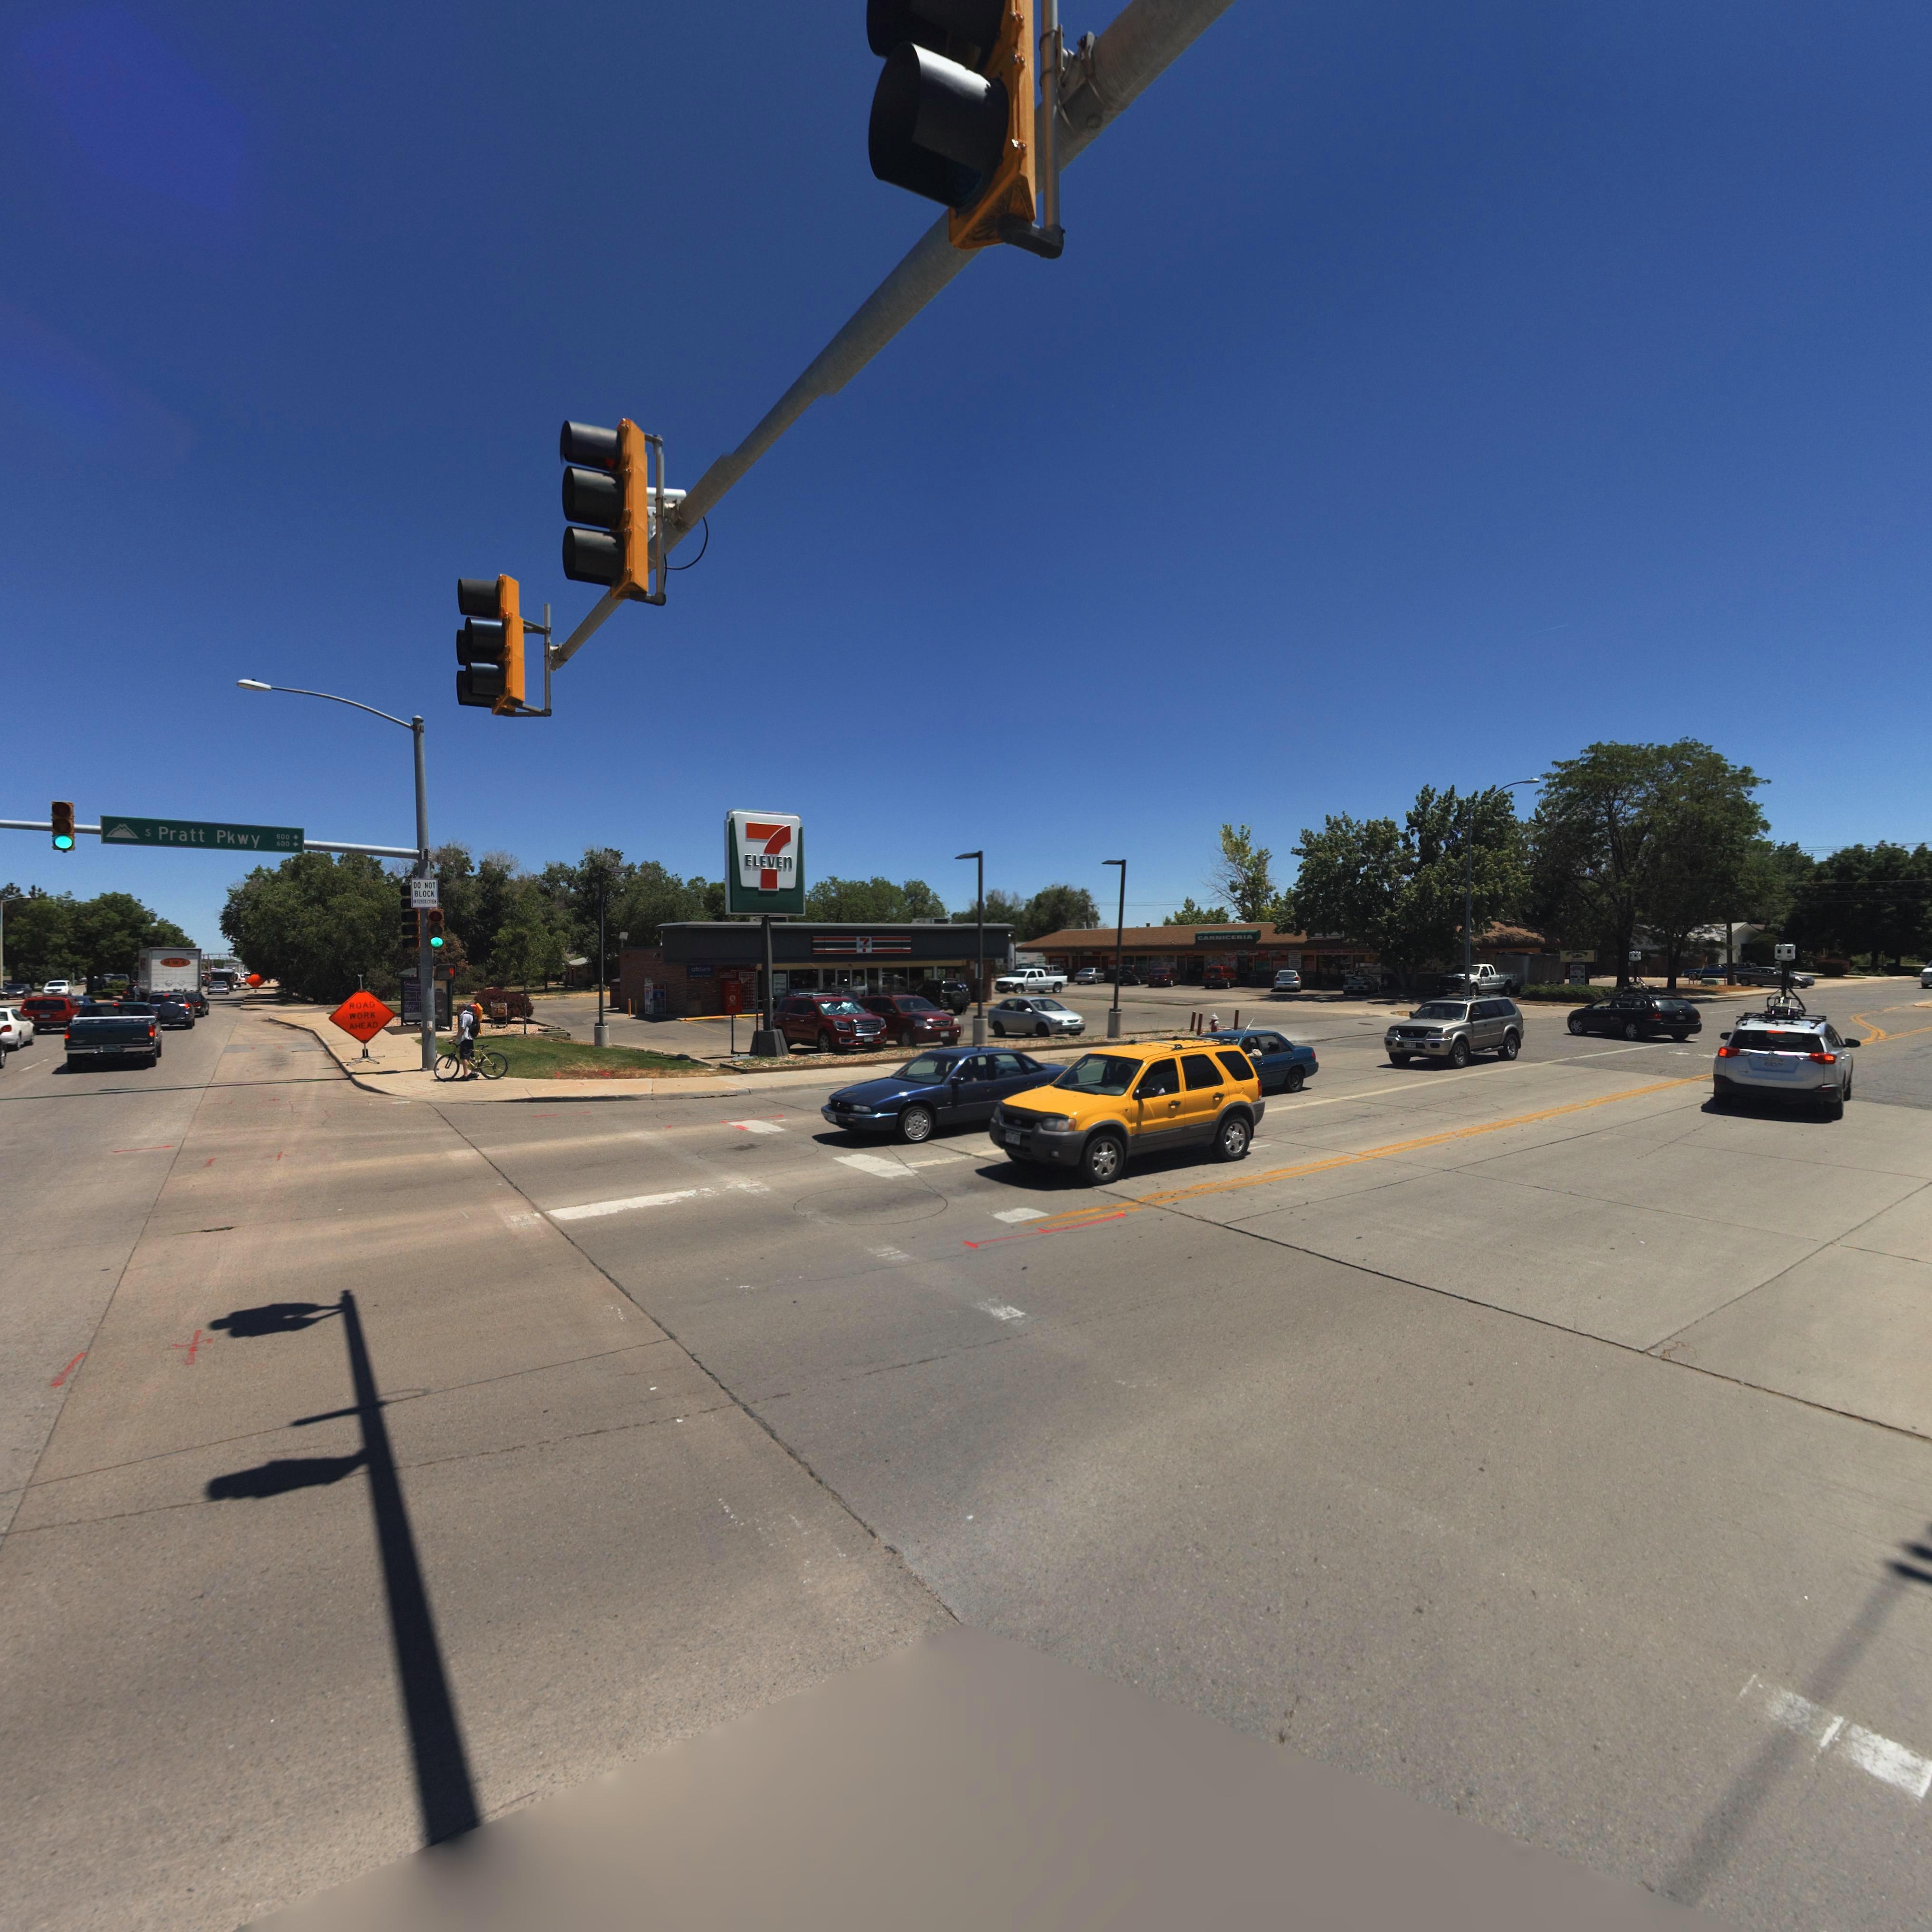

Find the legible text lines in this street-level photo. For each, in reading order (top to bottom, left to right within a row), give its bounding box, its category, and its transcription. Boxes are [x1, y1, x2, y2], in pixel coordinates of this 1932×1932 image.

[144, 824, 262, 850] StreetName: S Pratt Pkwy
[276, 832, 290, 840] StreetNumberRange: 800
[276, 840, 299, 847] StreetNumberRange: 600->
[744, 853, 792, 869] BusinessName: ELEVEn
[859, 944, 869, 947] BusinessName: E****n
[1569, 965, 1584, 973] BusinessName: C******